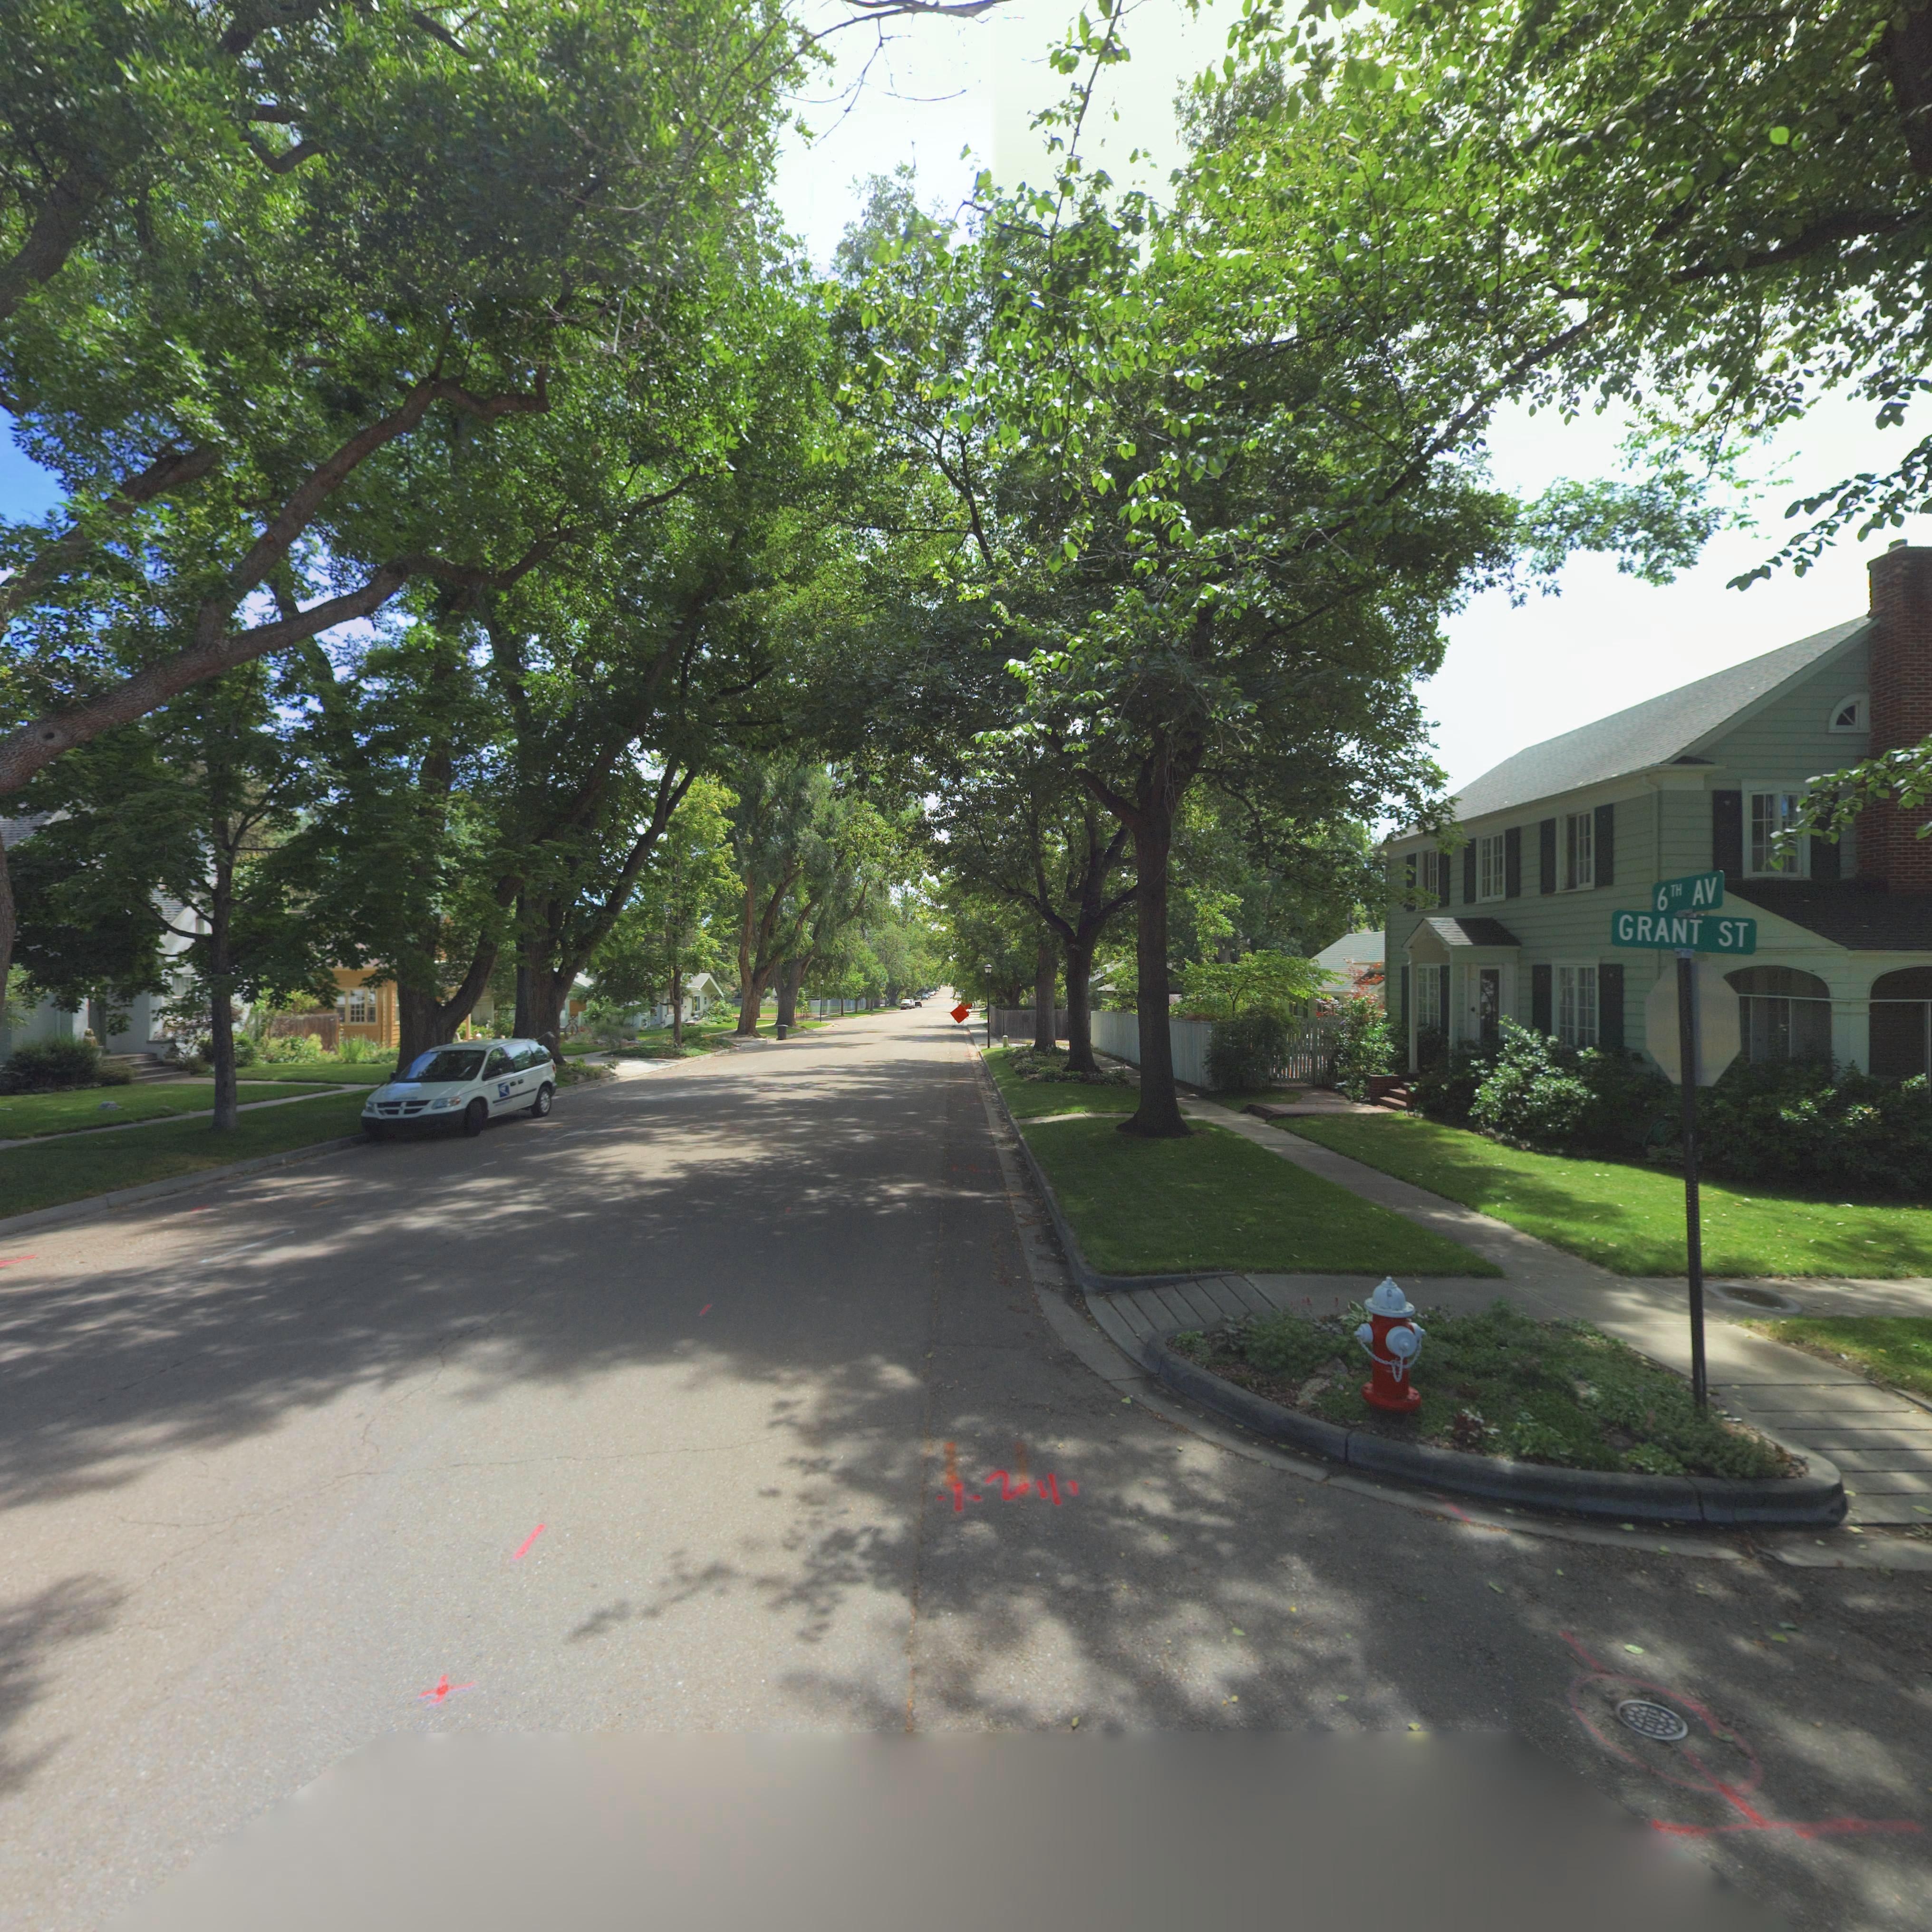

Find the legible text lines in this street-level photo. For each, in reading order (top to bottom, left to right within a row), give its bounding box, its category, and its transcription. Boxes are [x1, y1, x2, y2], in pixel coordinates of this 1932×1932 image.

[1655, 876, 1718, 912] StreetName: 6TH AV
[1617, 913, 1749, 949] StreetName: GRANT ST